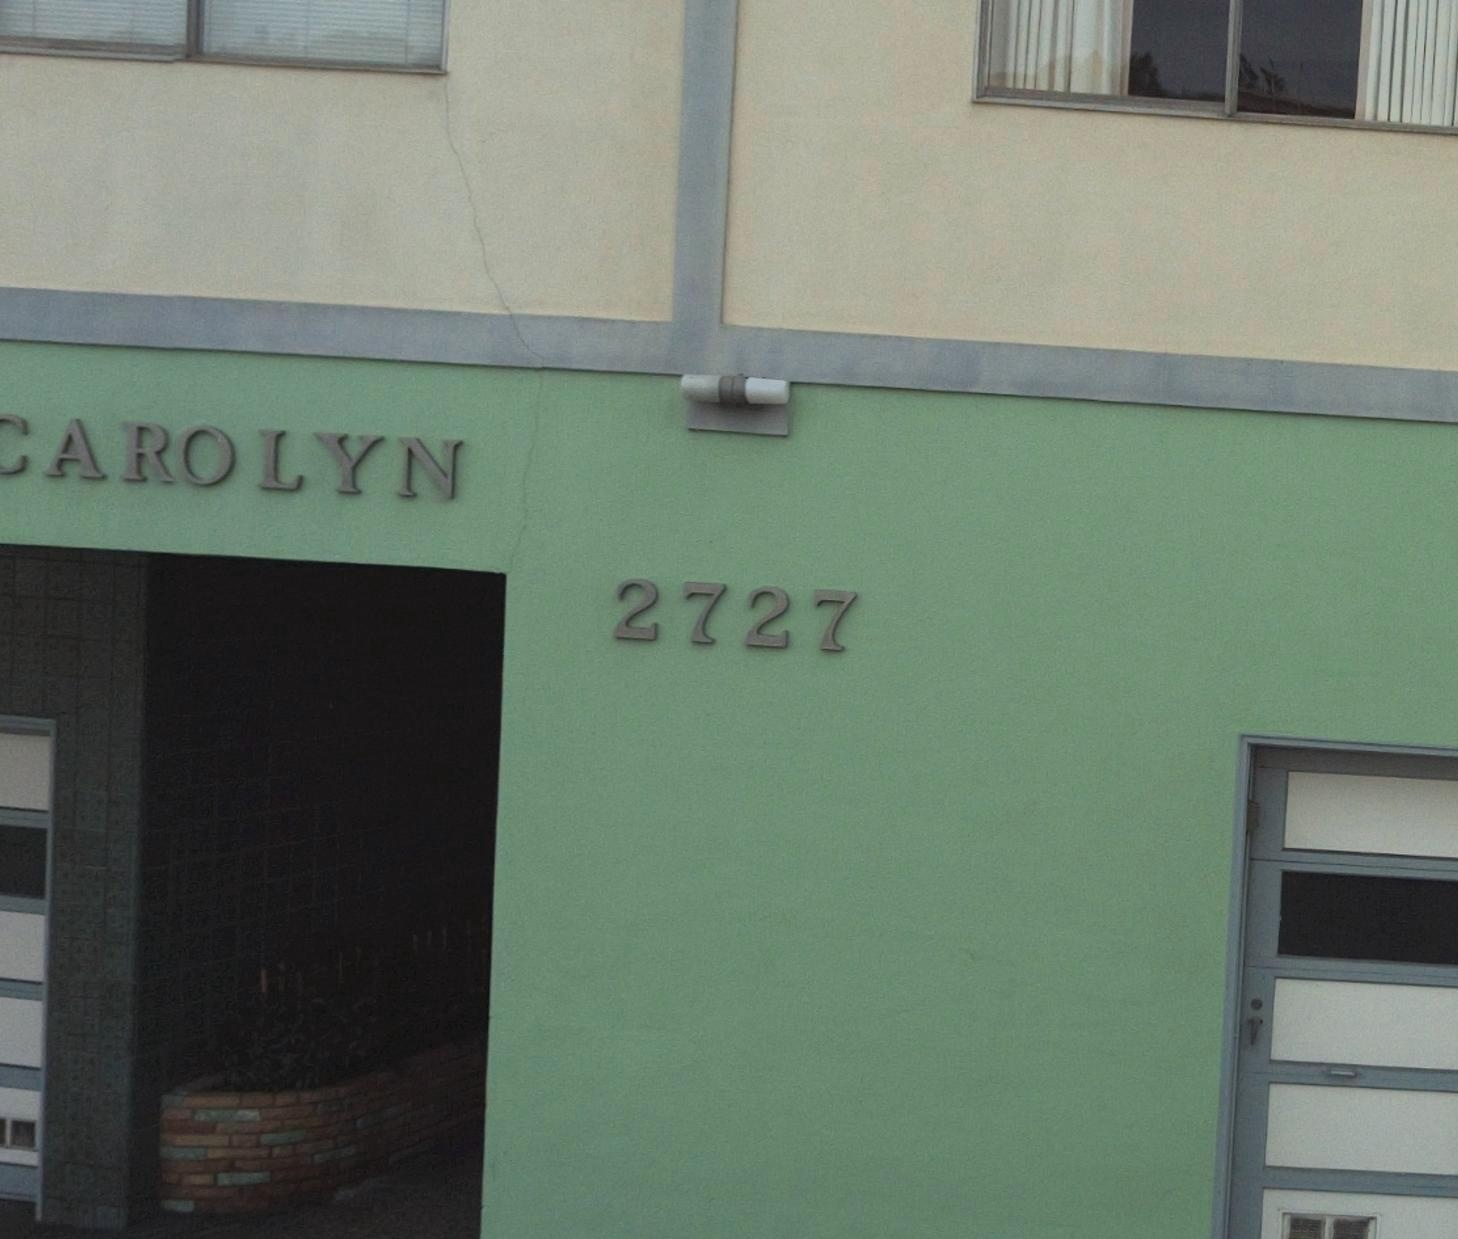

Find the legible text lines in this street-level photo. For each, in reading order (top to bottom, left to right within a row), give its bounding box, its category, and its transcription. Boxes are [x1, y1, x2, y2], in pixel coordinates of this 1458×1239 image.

[40, 414, 465, 504] StreetName: AROLYN
[610, 575, 858, 655] StreetNumber: 2727